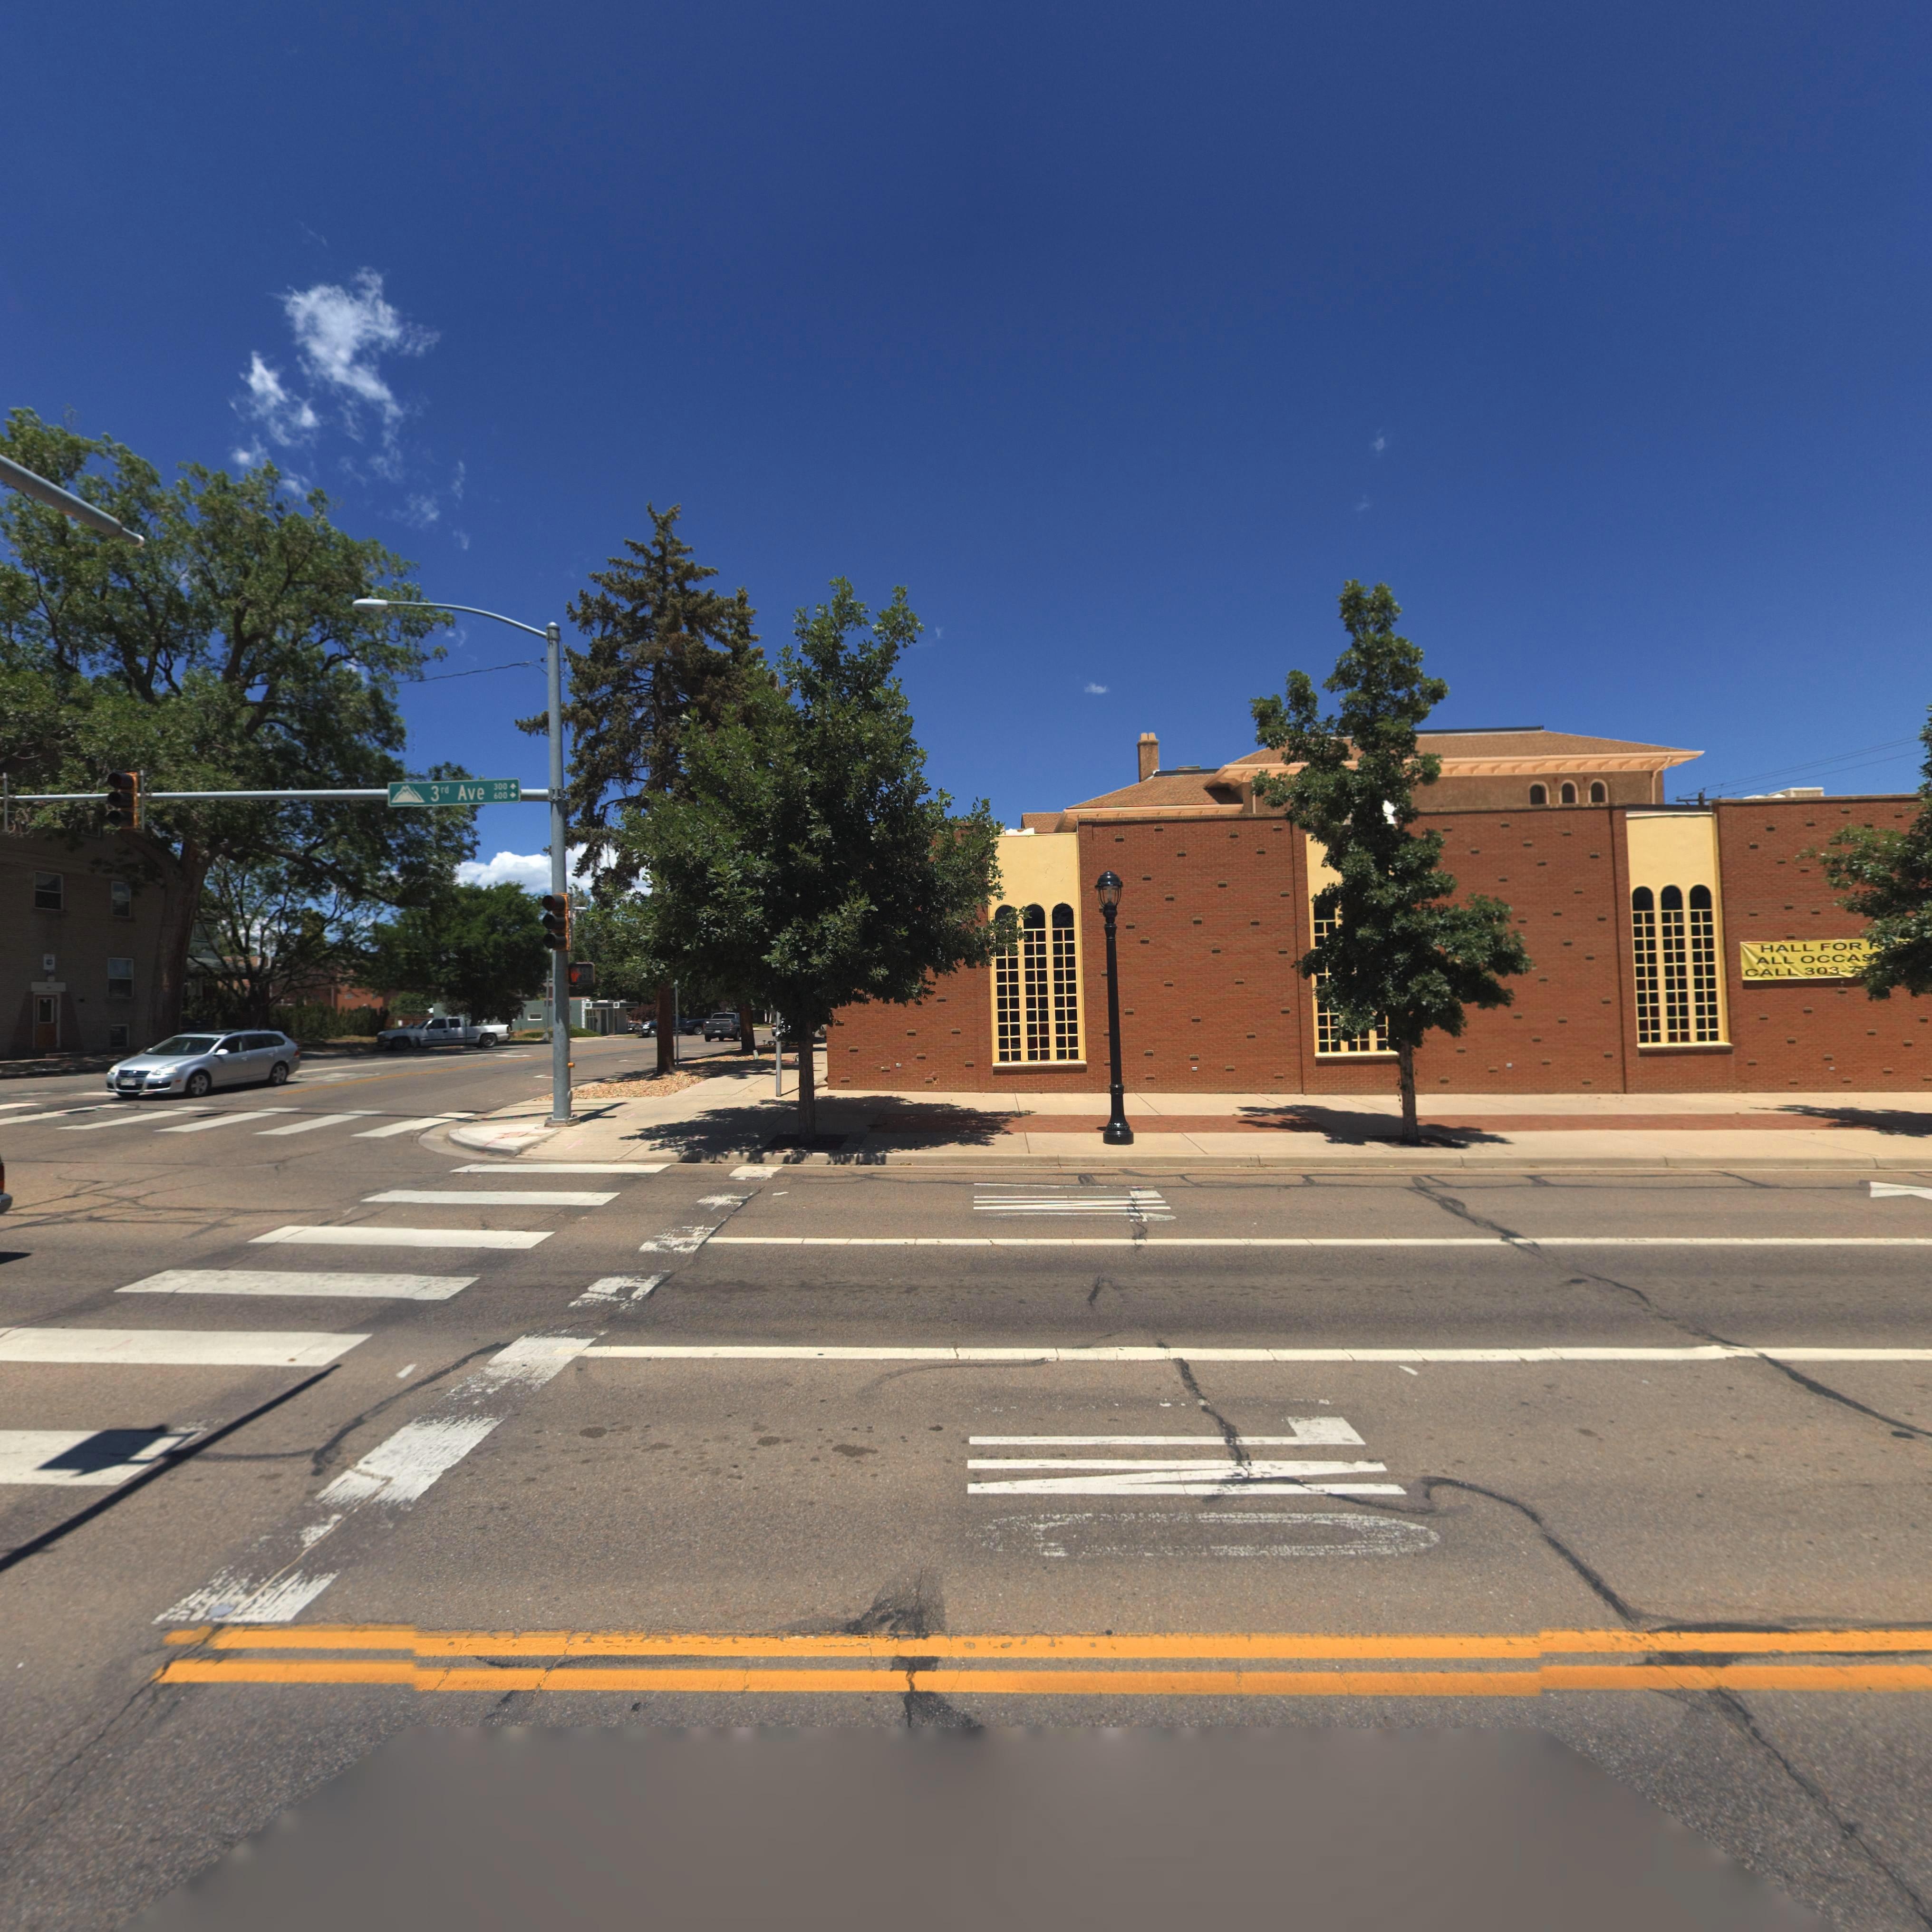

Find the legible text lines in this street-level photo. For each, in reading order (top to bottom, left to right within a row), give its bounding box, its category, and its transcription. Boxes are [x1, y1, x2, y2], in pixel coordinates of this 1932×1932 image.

[493, 783, 507, 790] StreetNumberRange: 300
[430, 784, 484, 802] StreetName: 3rd Ave
[493, 791, 517, 799] StreetNumberRange: 600 ->